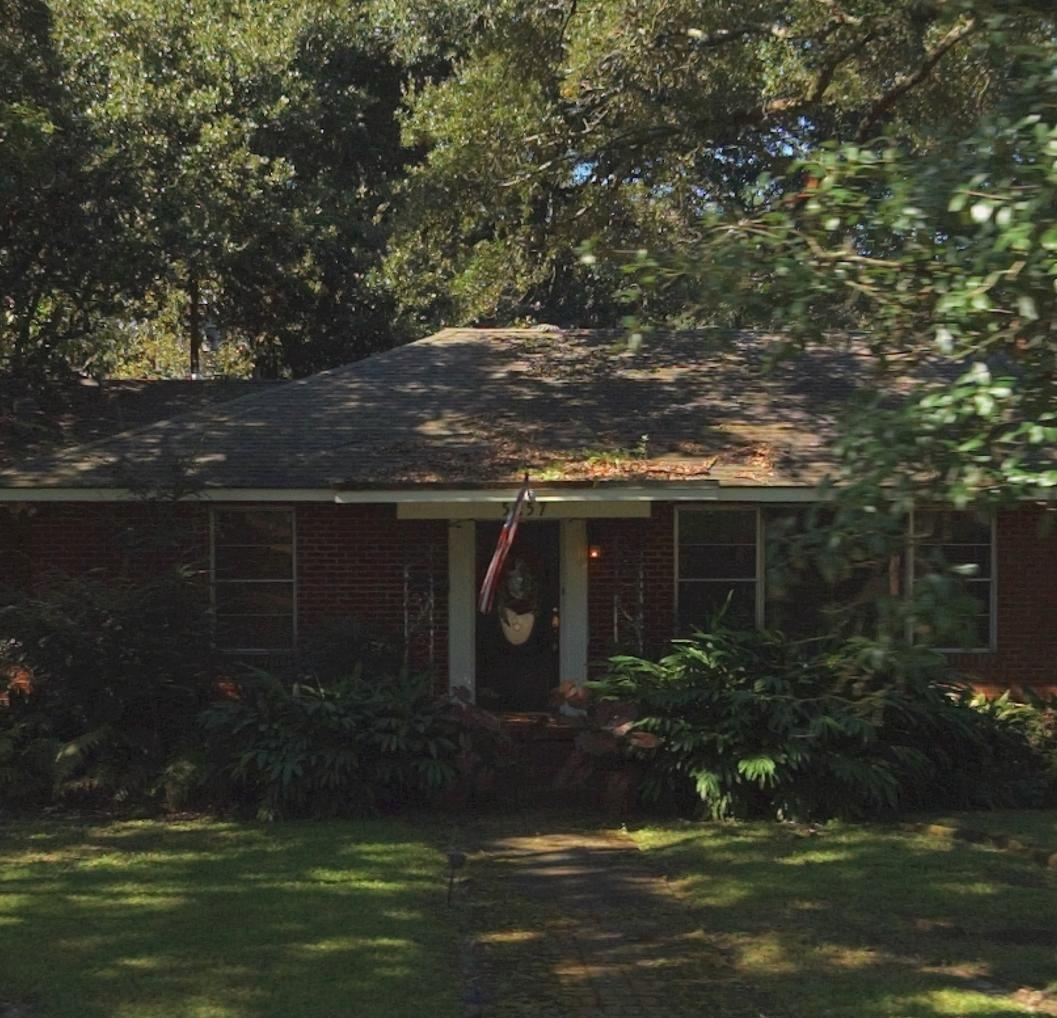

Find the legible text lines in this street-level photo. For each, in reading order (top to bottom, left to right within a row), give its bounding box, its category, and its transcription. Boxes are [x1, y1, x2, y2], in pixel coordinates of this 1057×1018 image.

[500, 500, 549, 518] StreetNumber: 5*57